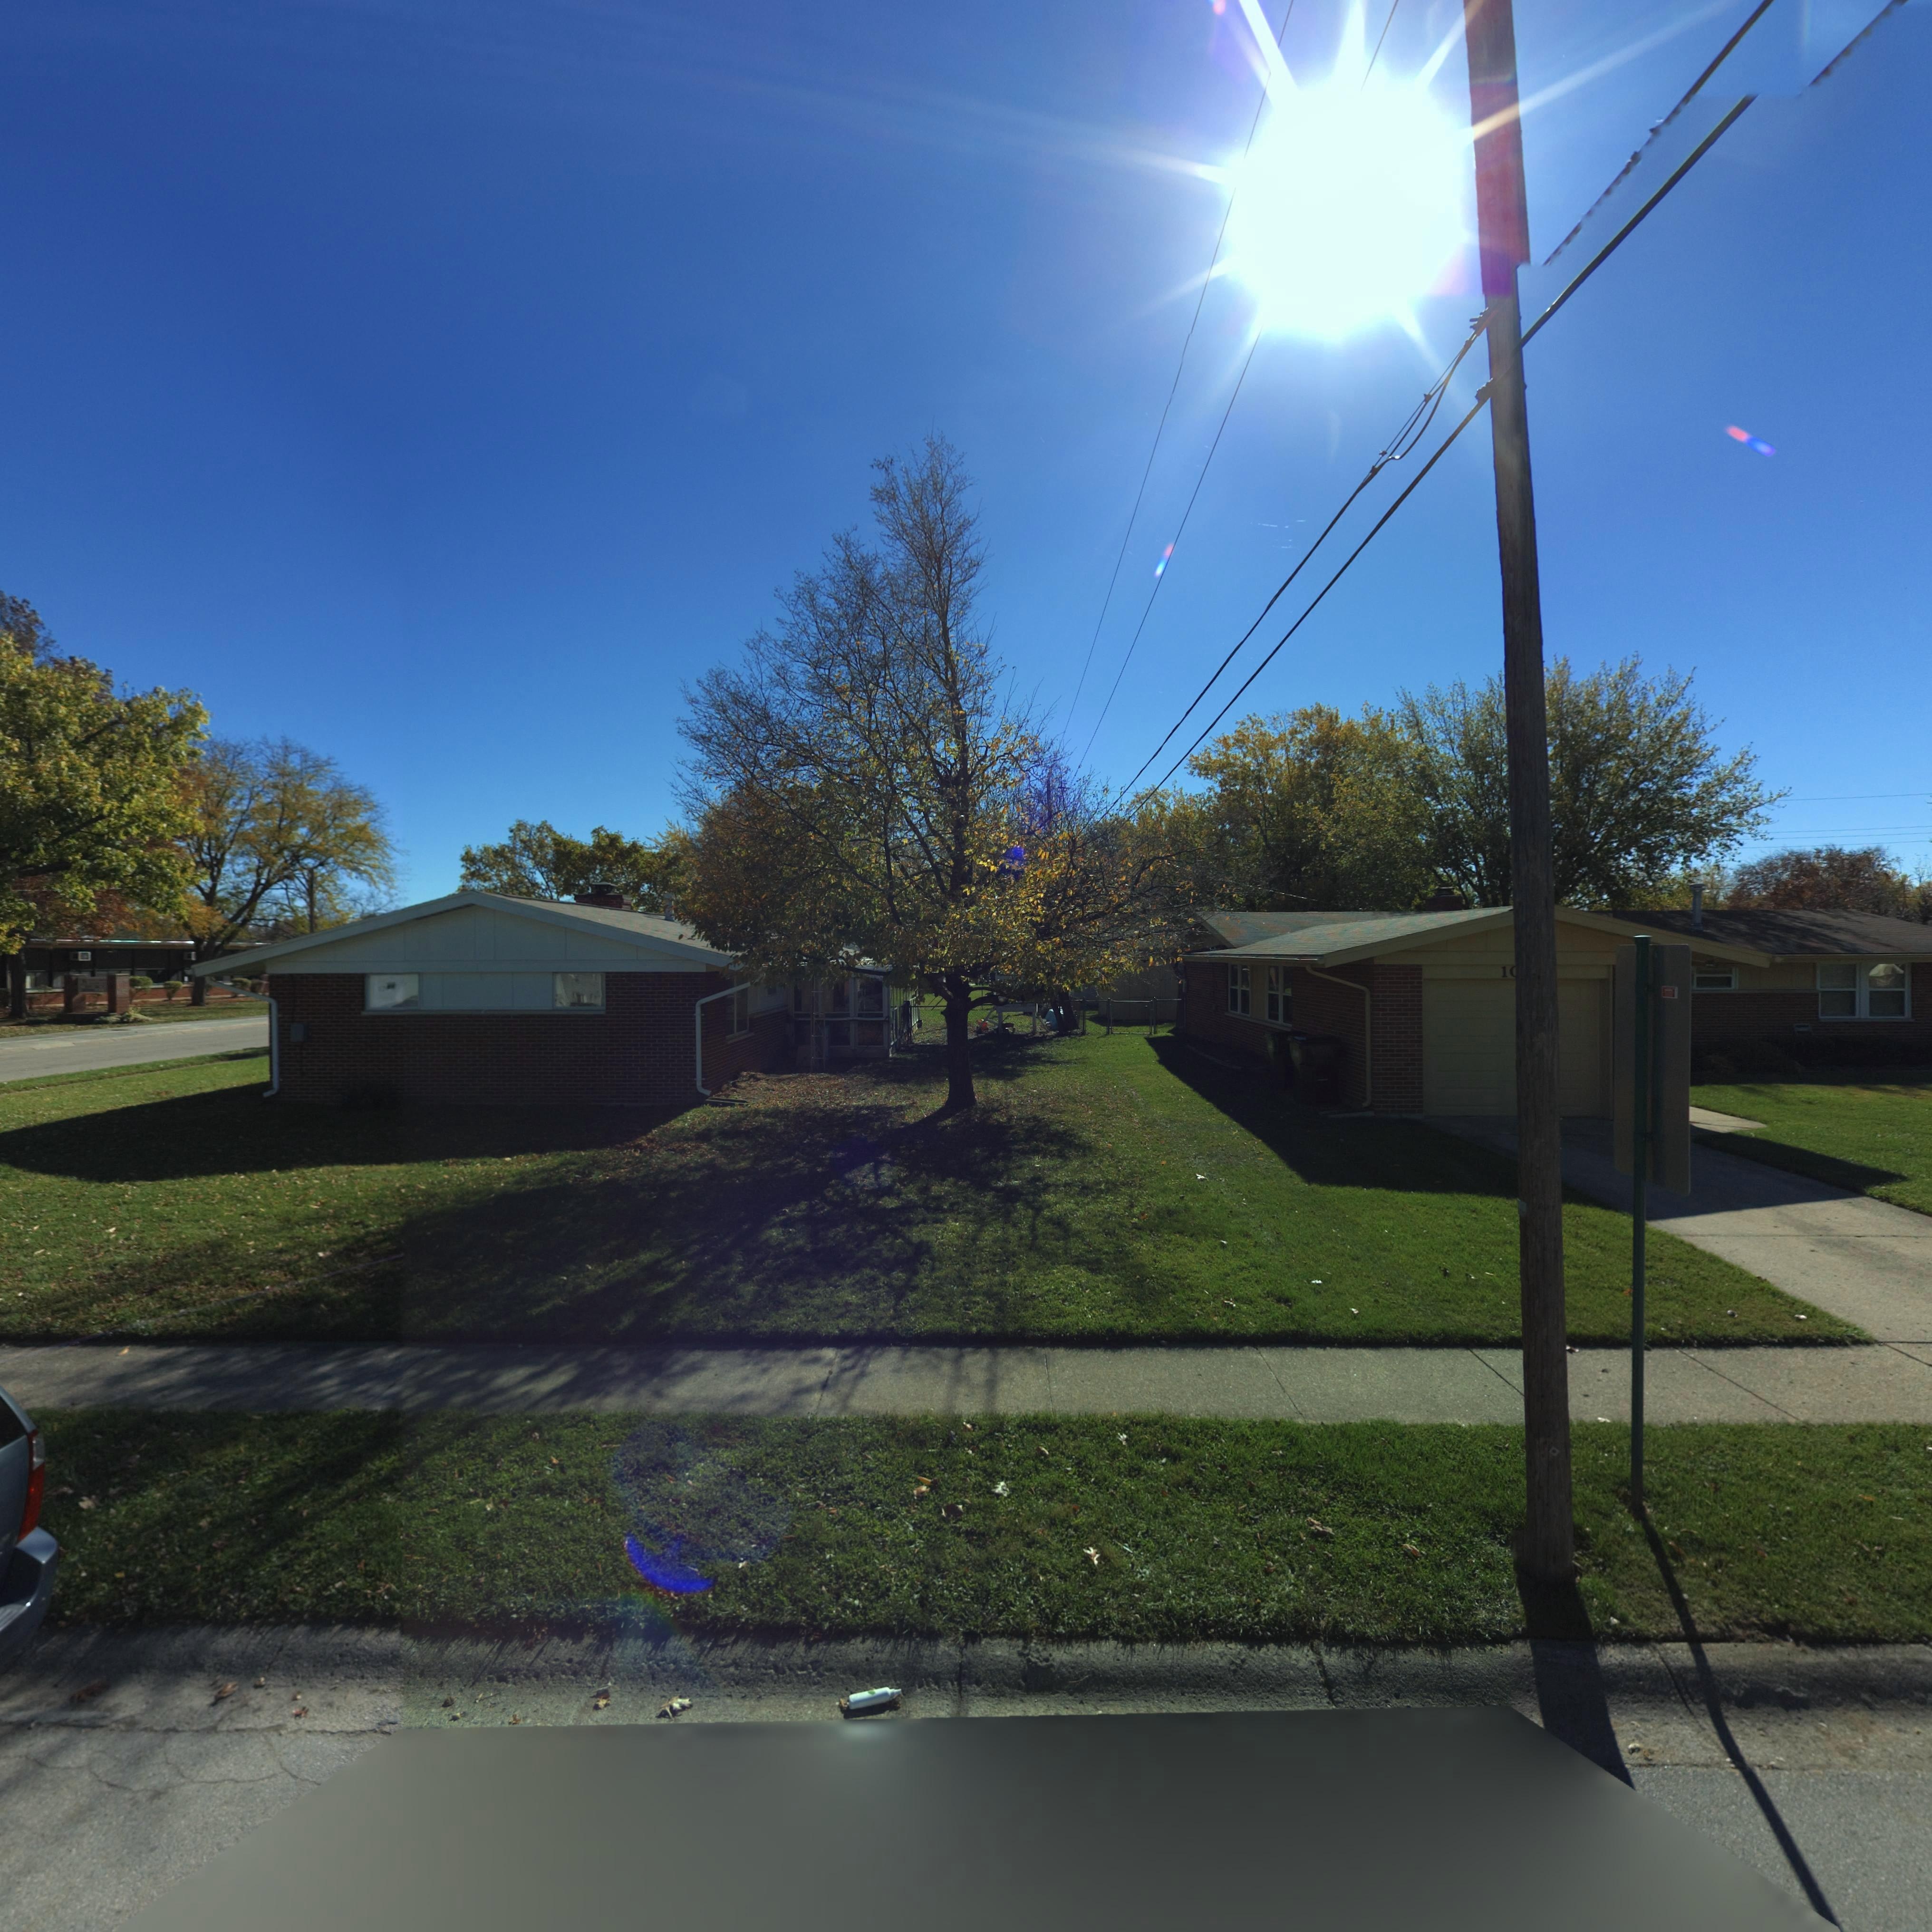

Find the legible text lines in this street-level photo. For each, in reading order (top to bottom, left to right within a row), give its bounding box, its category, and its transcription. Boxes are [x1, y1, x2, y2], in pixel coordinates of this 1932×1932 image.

[1500, 964, 1508, 978] StreetNumber: 1